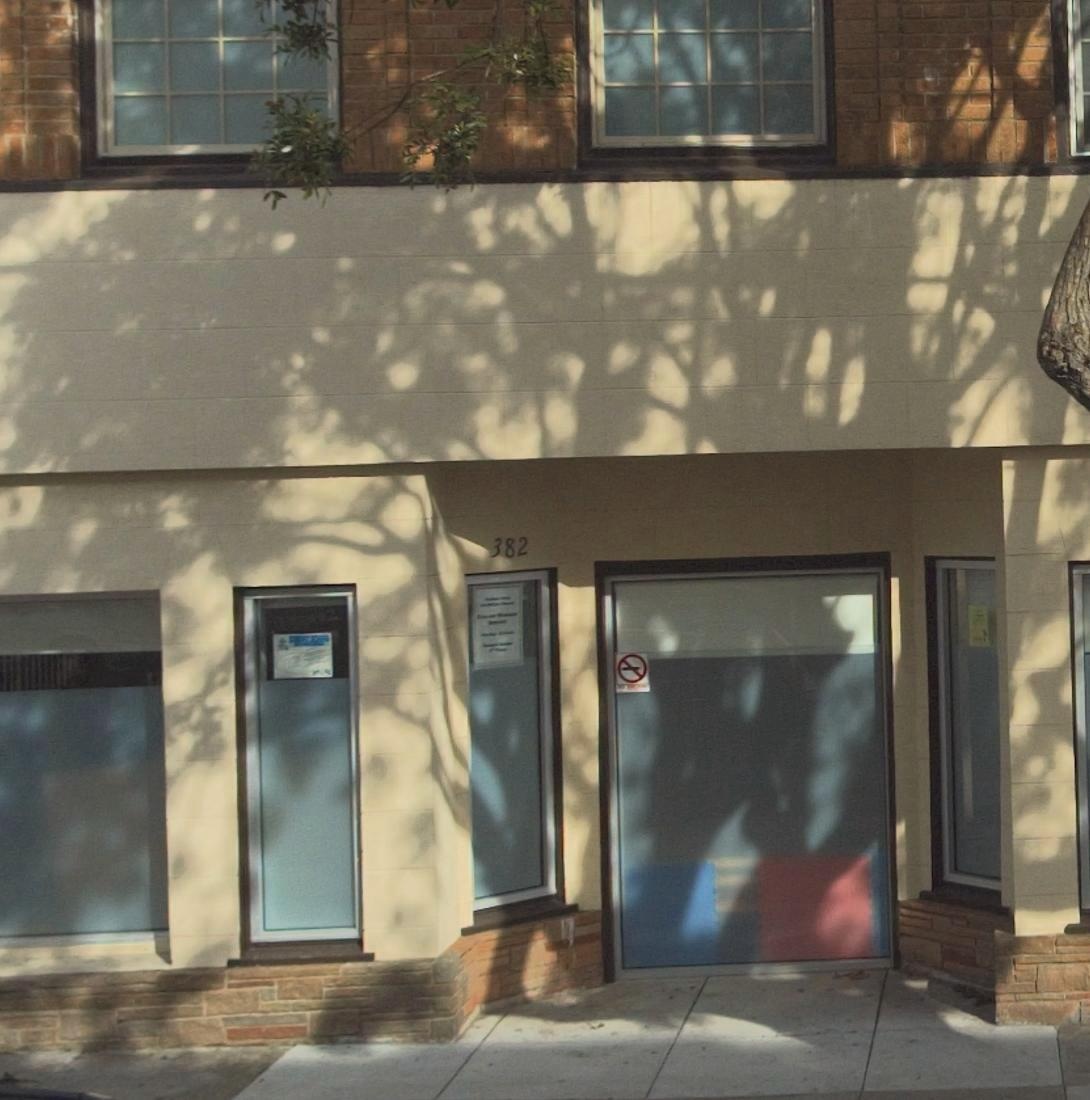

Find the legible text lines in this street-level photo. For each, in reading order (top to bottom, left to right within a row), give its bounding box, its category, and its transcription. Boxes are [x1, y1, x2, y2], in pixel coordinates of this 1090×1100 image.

[488, 536, 529, 559] StreetNumber: 382